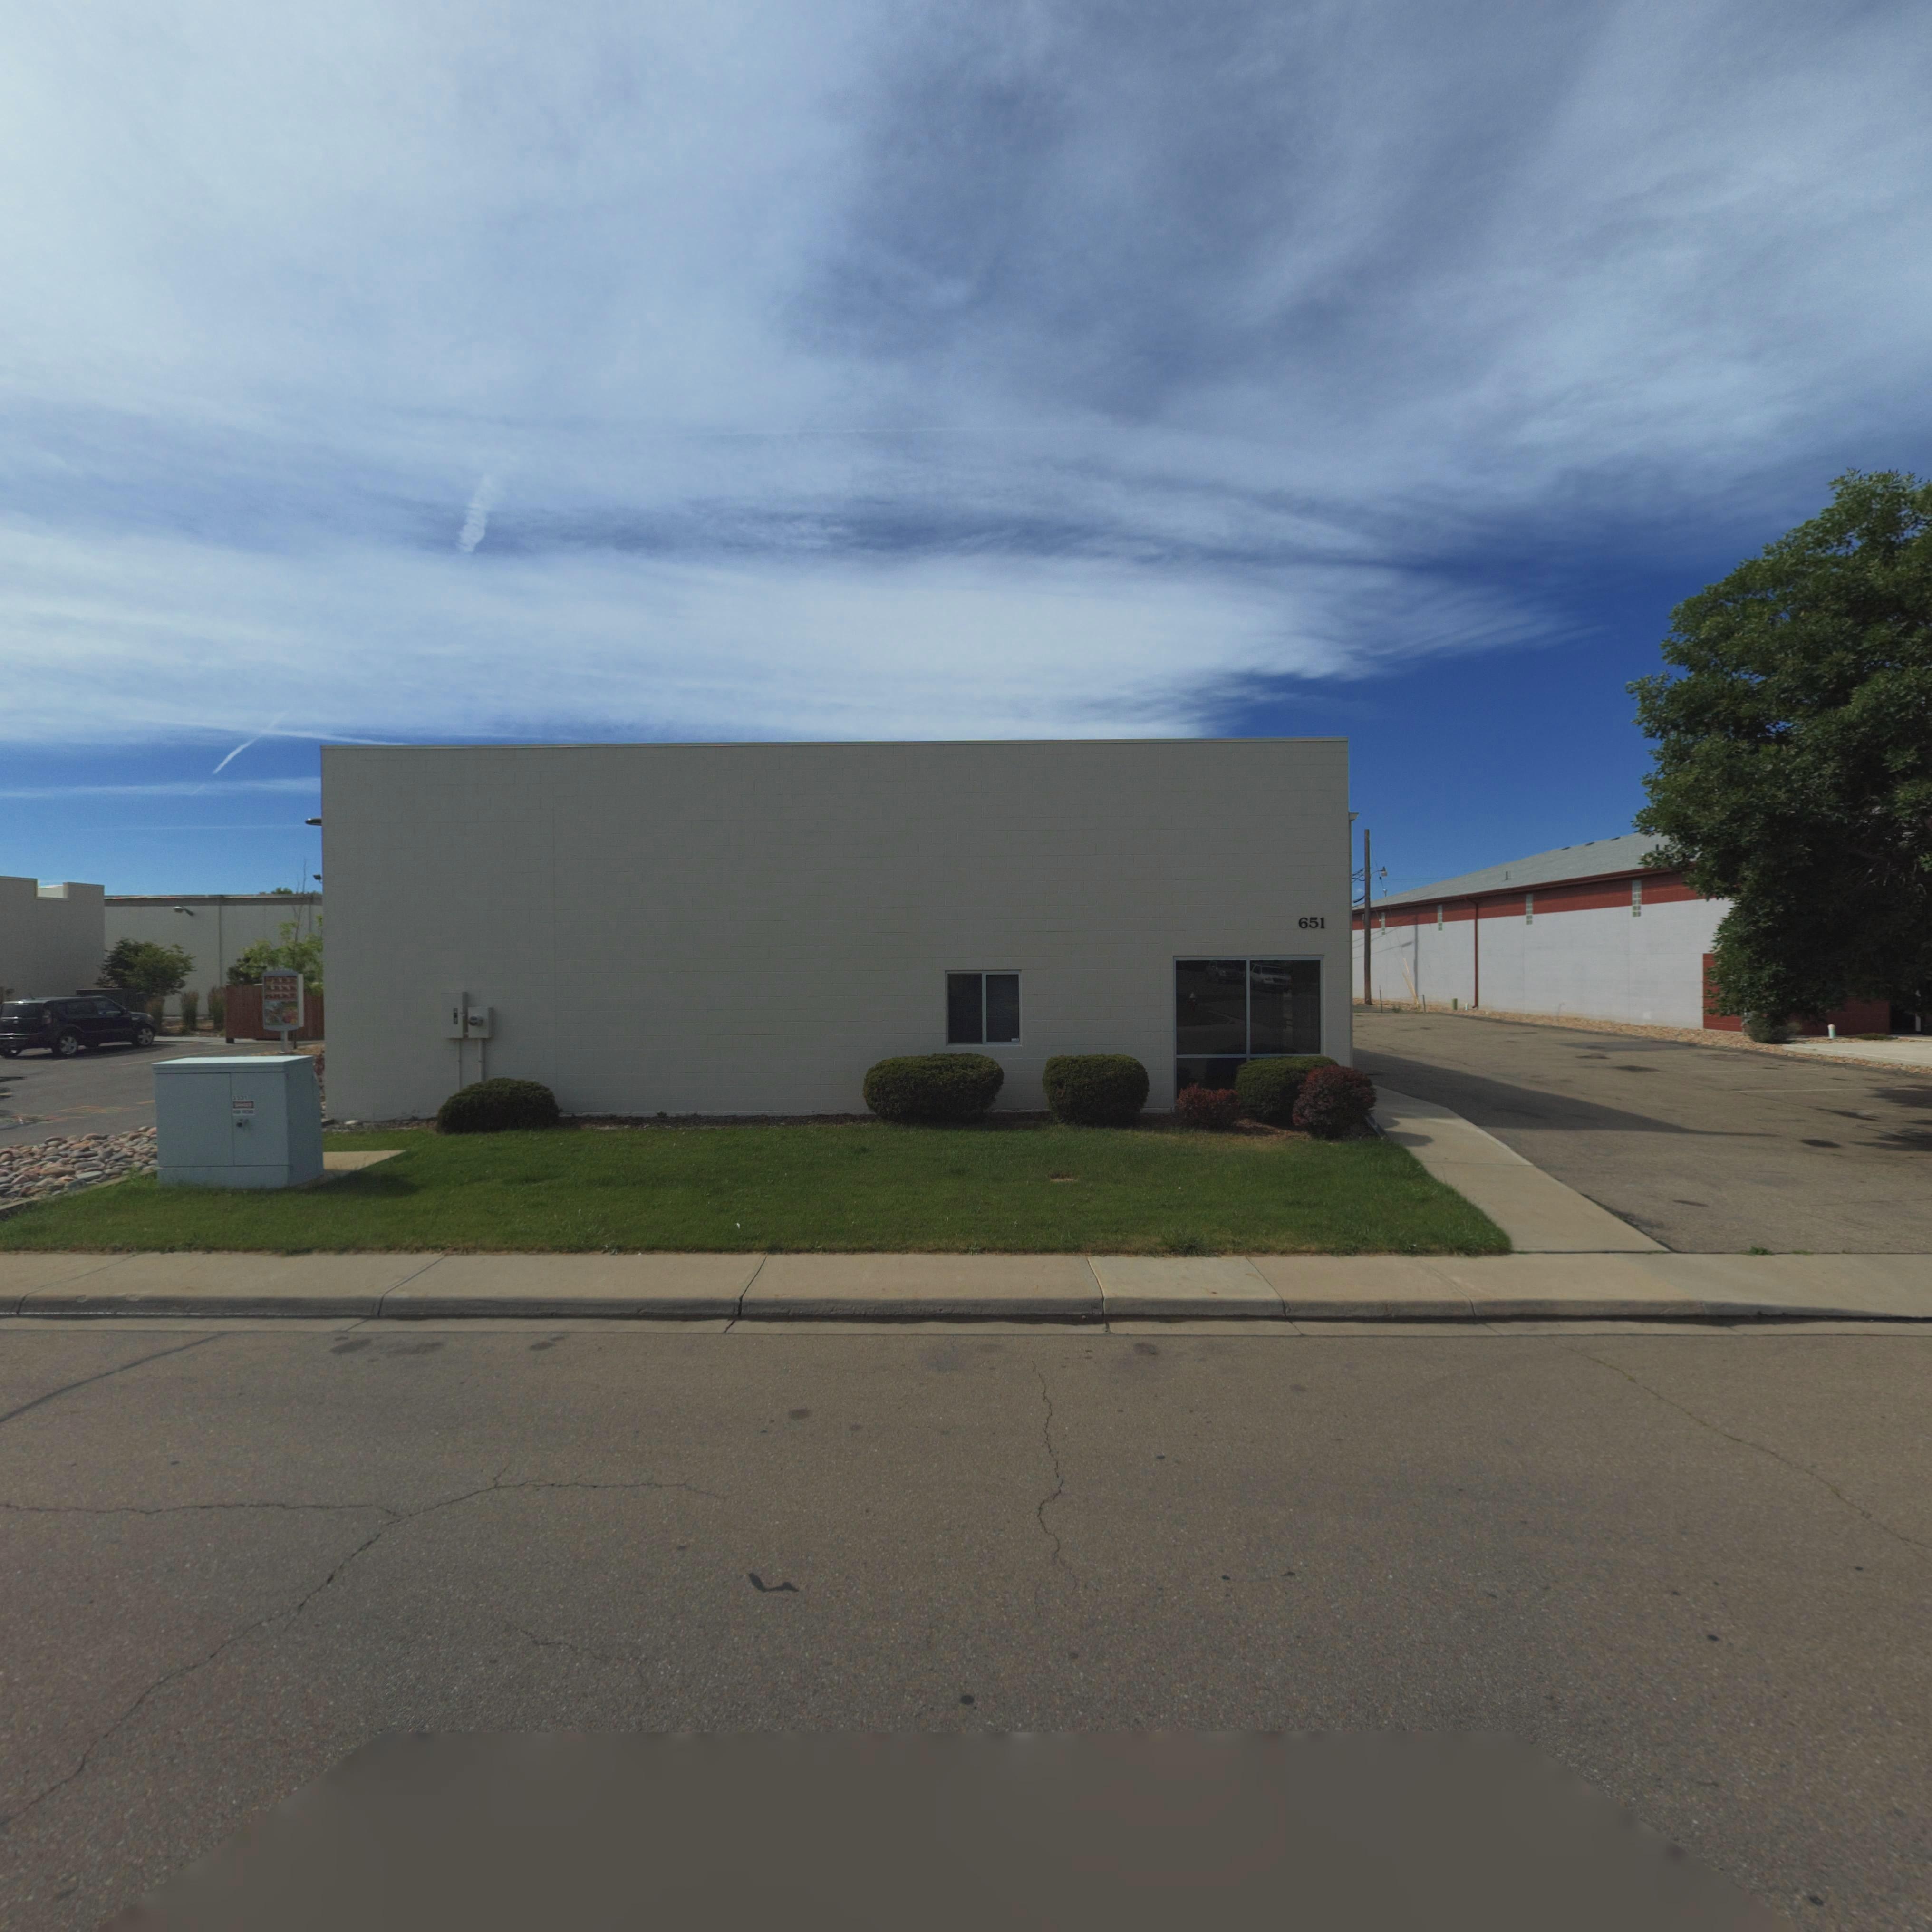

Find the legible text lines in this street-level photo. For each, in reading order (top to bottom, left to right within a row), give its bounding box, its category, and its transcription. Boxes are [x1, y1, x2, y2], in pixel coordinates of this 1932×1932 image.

[1298, 917, 1324, 928] StreetNumber: 651